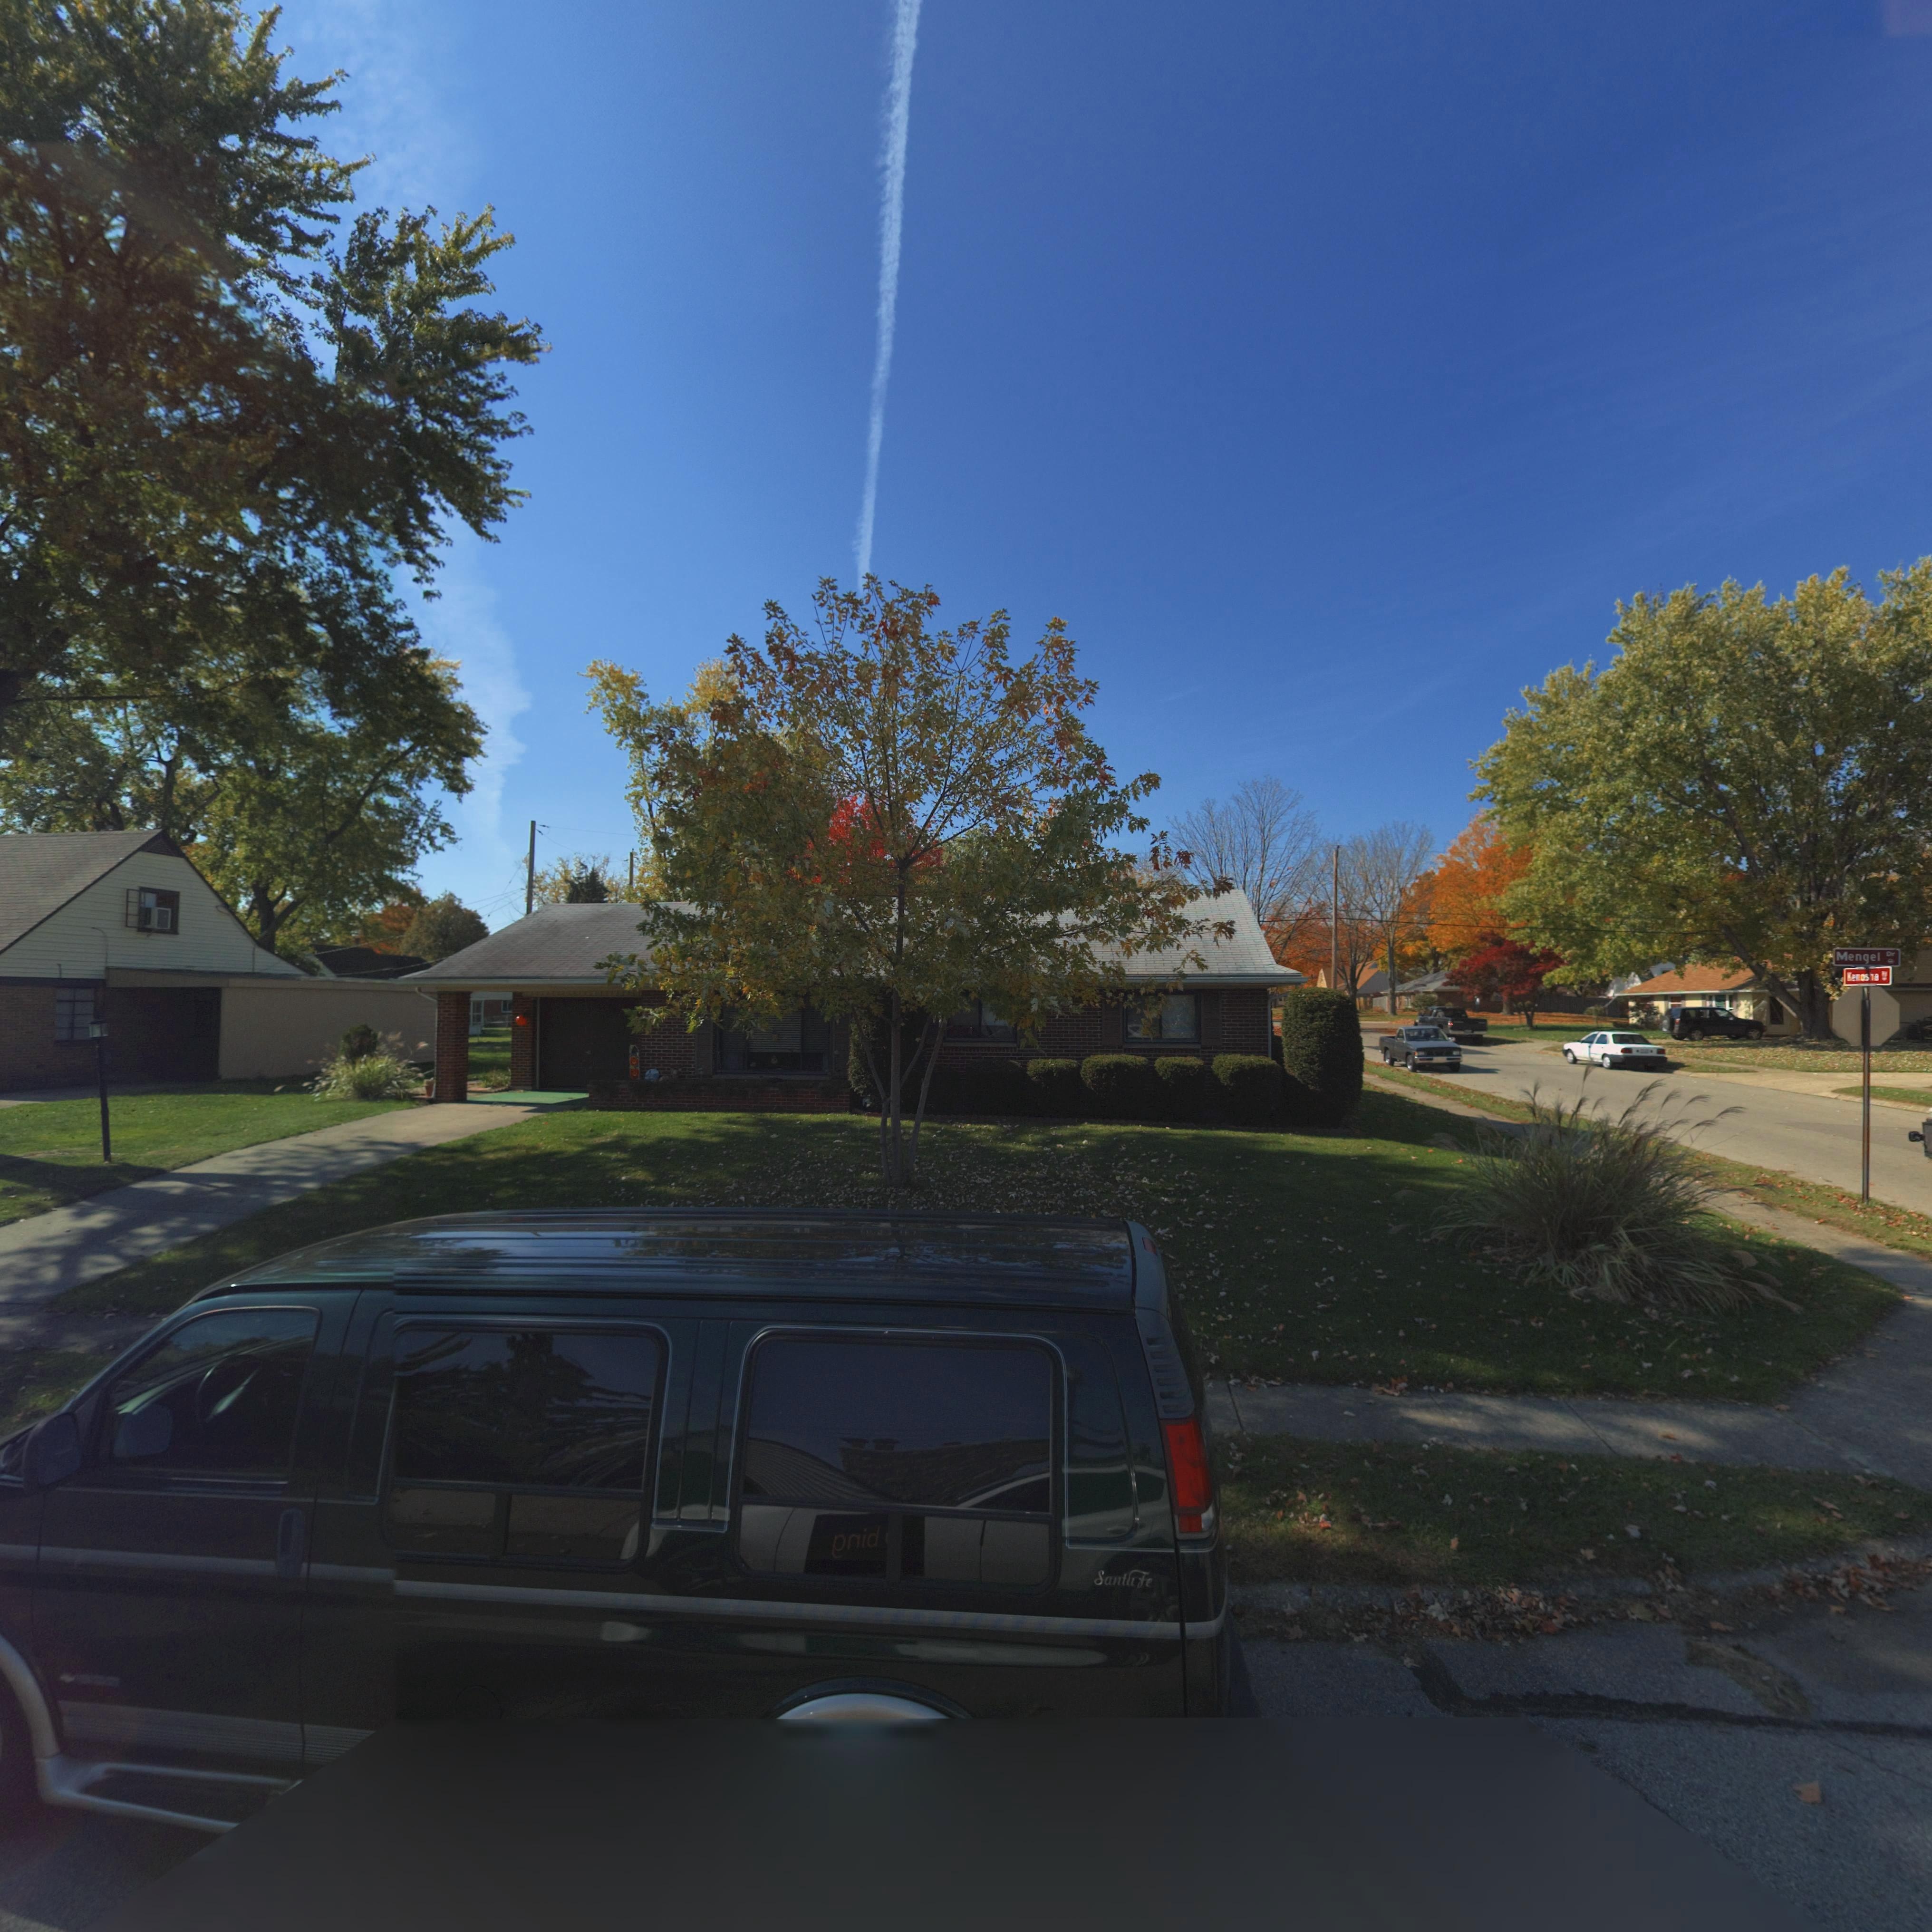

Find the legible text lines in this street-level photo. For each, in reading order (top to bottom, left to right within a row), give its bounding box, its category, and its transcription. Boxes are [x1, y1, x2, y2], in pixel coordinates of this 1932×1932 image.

[1835, 949, 1897, 966] StreetName: Mengel Dr
[829, 1522, 883, 1563] None: **i*
[1091, 1566, 1156, 1591] None: Santa Fe